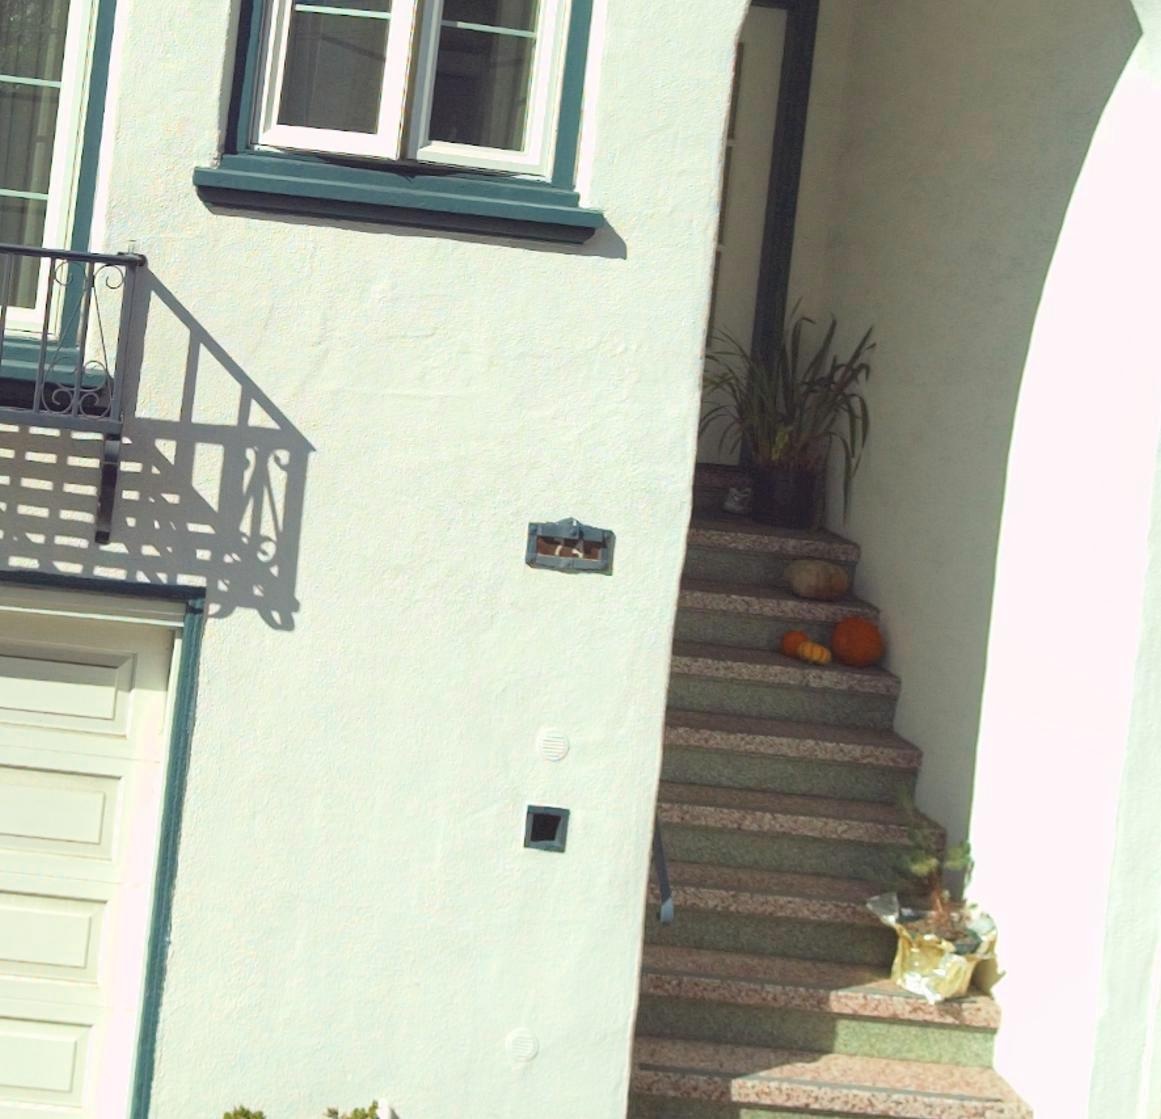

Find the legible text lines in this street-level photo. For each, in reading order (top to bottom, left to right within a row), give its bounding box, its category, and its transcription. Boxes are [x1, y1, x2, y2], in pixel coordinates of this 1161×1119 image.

[551, 537, 586, 560] StreetNumber: 74